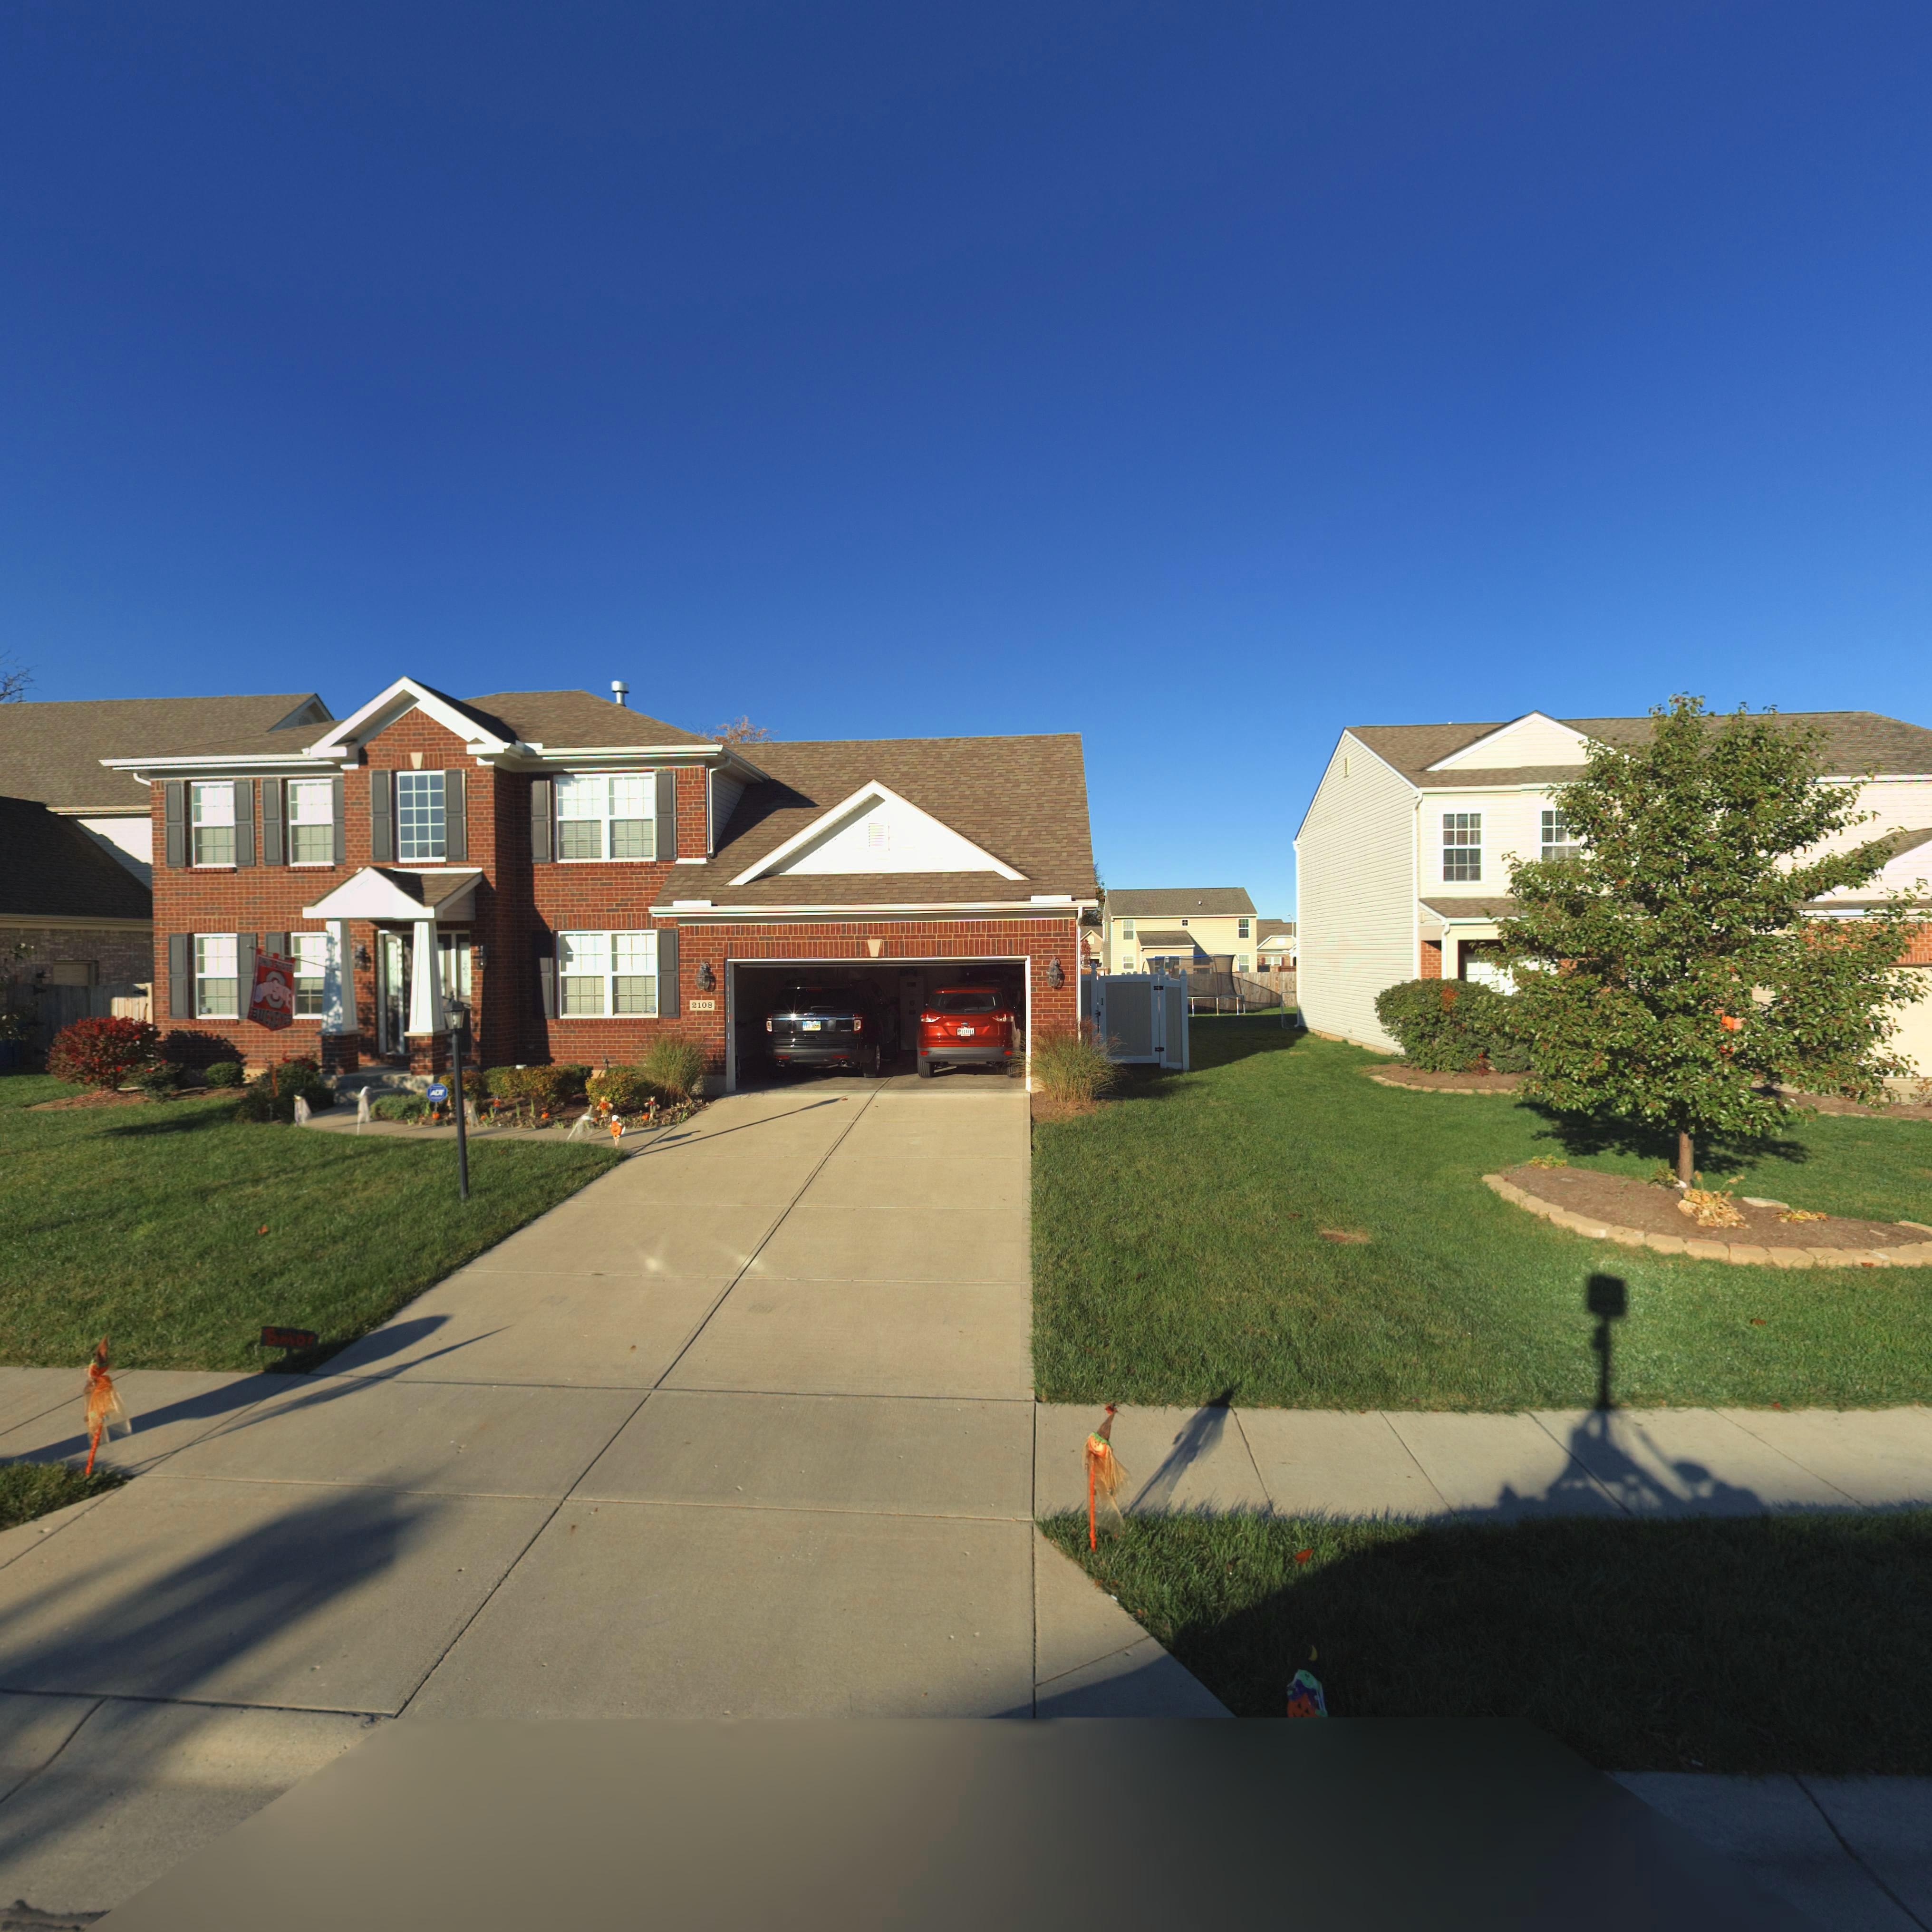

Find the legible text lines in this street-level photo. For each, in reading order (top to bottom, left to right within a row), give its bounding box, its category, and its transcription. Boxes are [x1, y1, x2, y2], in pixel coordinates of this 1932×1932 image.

[691, 1001, 714, 1009] StreetNumber: 2108